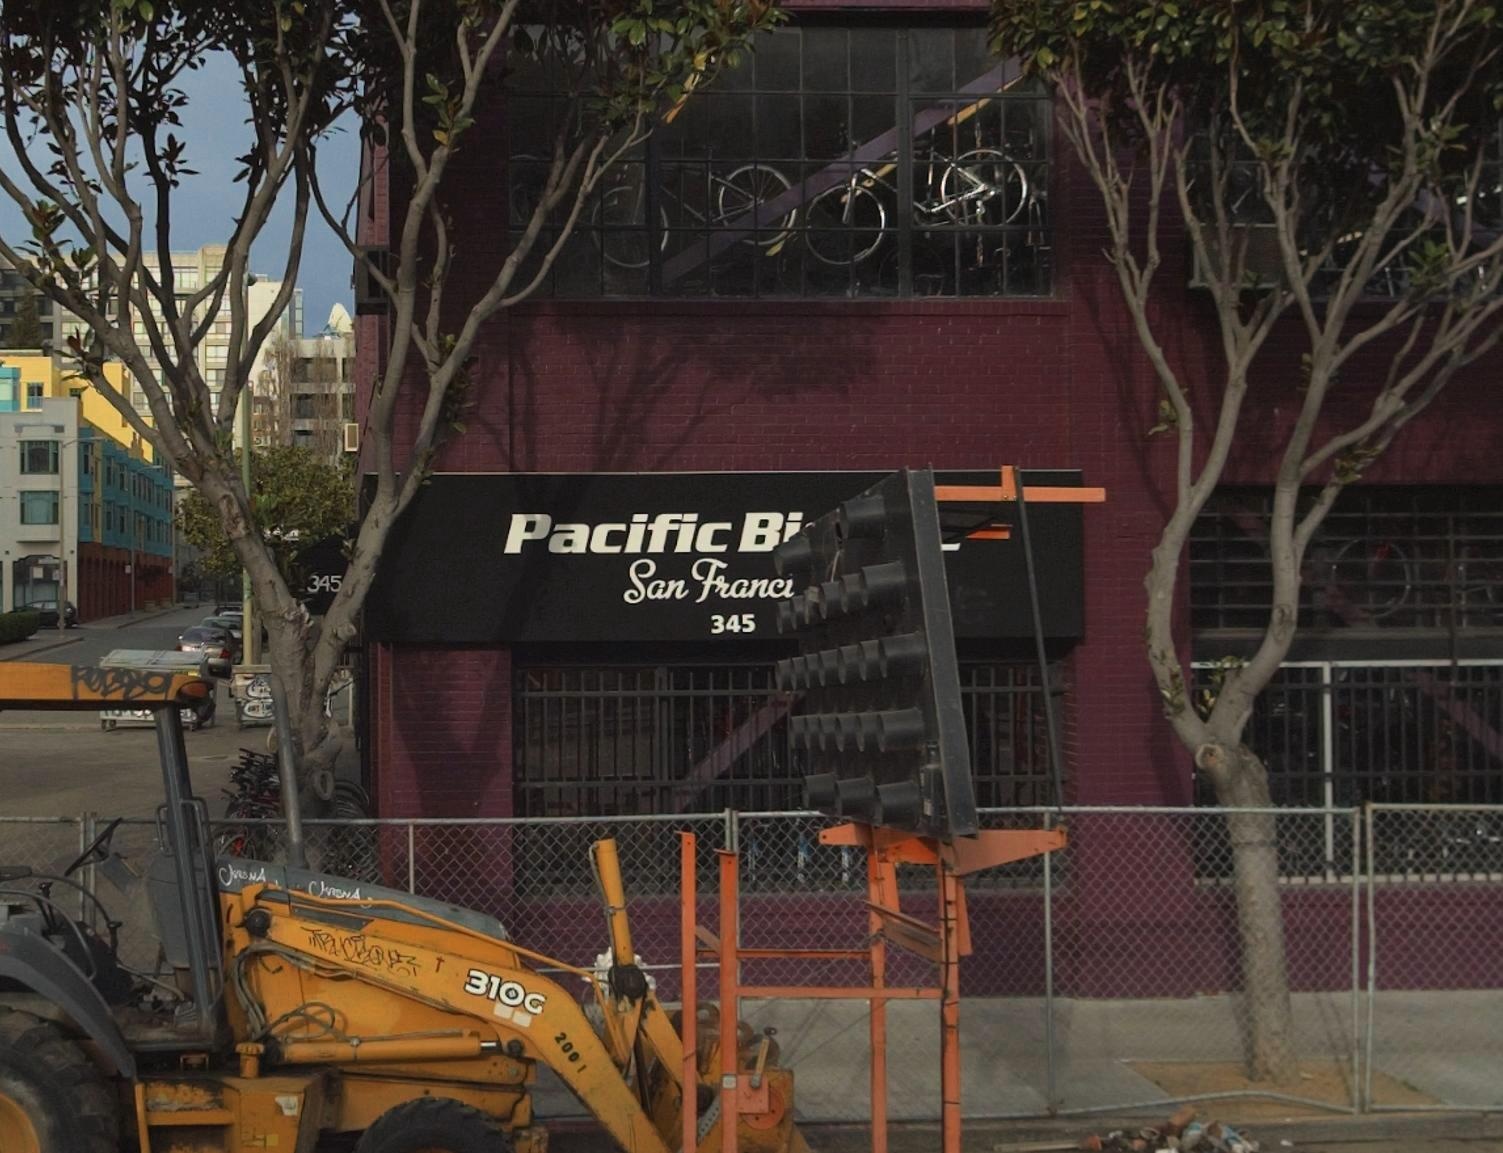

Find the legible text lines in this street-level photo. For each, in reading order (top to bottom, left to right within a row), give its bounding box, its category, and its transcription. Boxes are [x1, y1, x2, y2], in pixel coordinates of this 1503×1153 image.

[500, 509, 788, 557] BusinessName: Pacific B
[305, 572, 344, 595] StreetNumber: 345
[620, 556, 787, 607] None: San Franc
[708, 610, 759, 637] StreetNumber: 345
[458, 961, 551, 1022] None: 310G
[549, 1027, 592, 1078] None: 2001